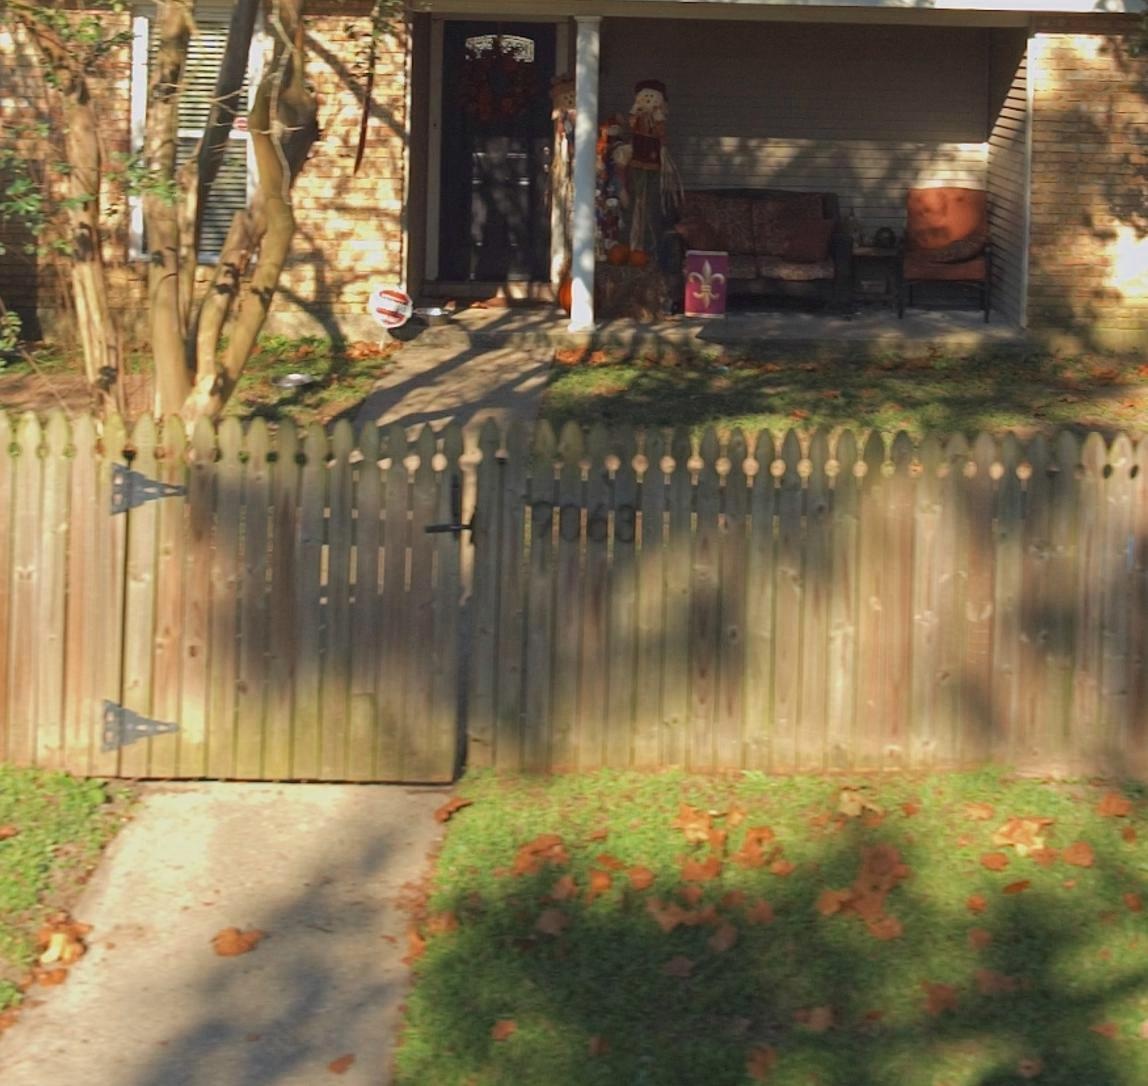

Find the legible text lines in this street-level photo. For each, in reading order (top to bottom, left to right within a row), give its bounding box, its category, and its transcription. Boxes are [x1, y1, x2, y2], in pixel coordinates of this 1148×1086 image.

[532, 500, 636, 544] StreetNumber: 9063